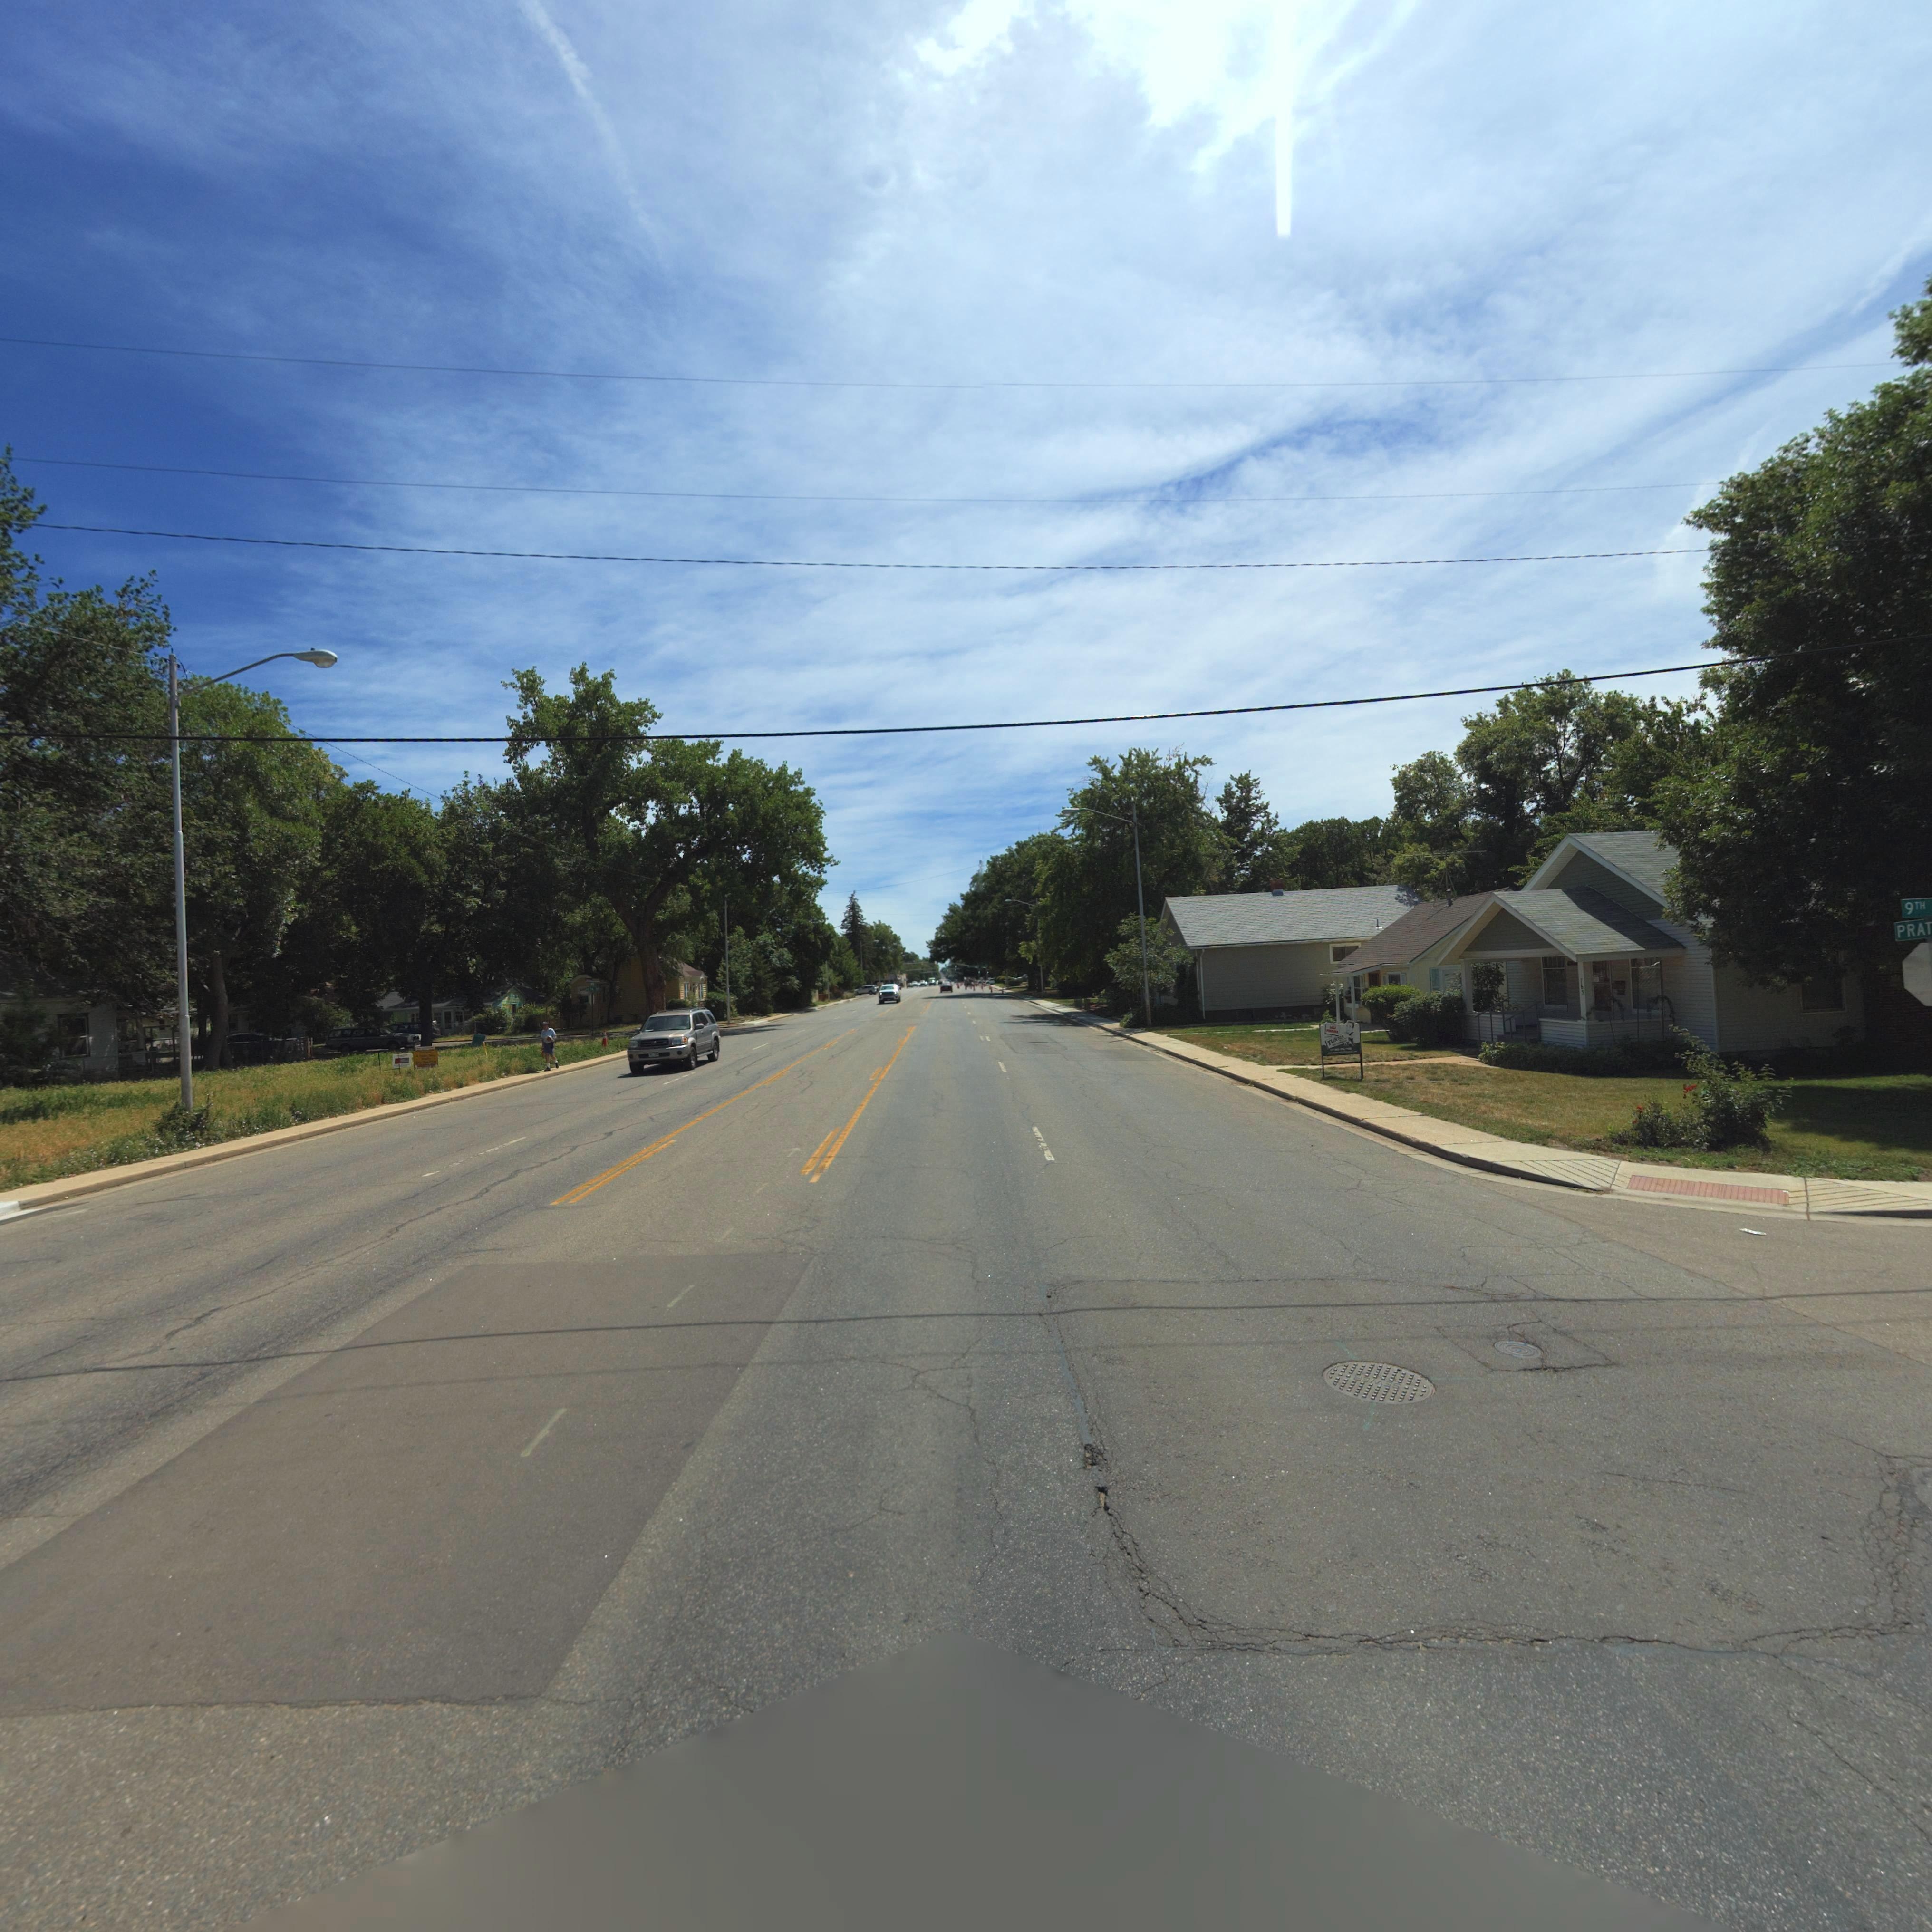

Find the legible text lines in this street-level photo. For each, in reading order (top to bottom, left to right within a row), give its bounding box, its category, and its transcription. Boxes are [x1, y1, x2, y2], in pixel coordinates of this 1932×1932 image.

[1904, 901, 1926, 915] StreetName: 9TH
[1896, 921, 1932, 939] StreetName: PRAT
[585, 986, 600, 991] StreetName: **** ST
[1579, 977, 1584, 995] StreetNumber: 765